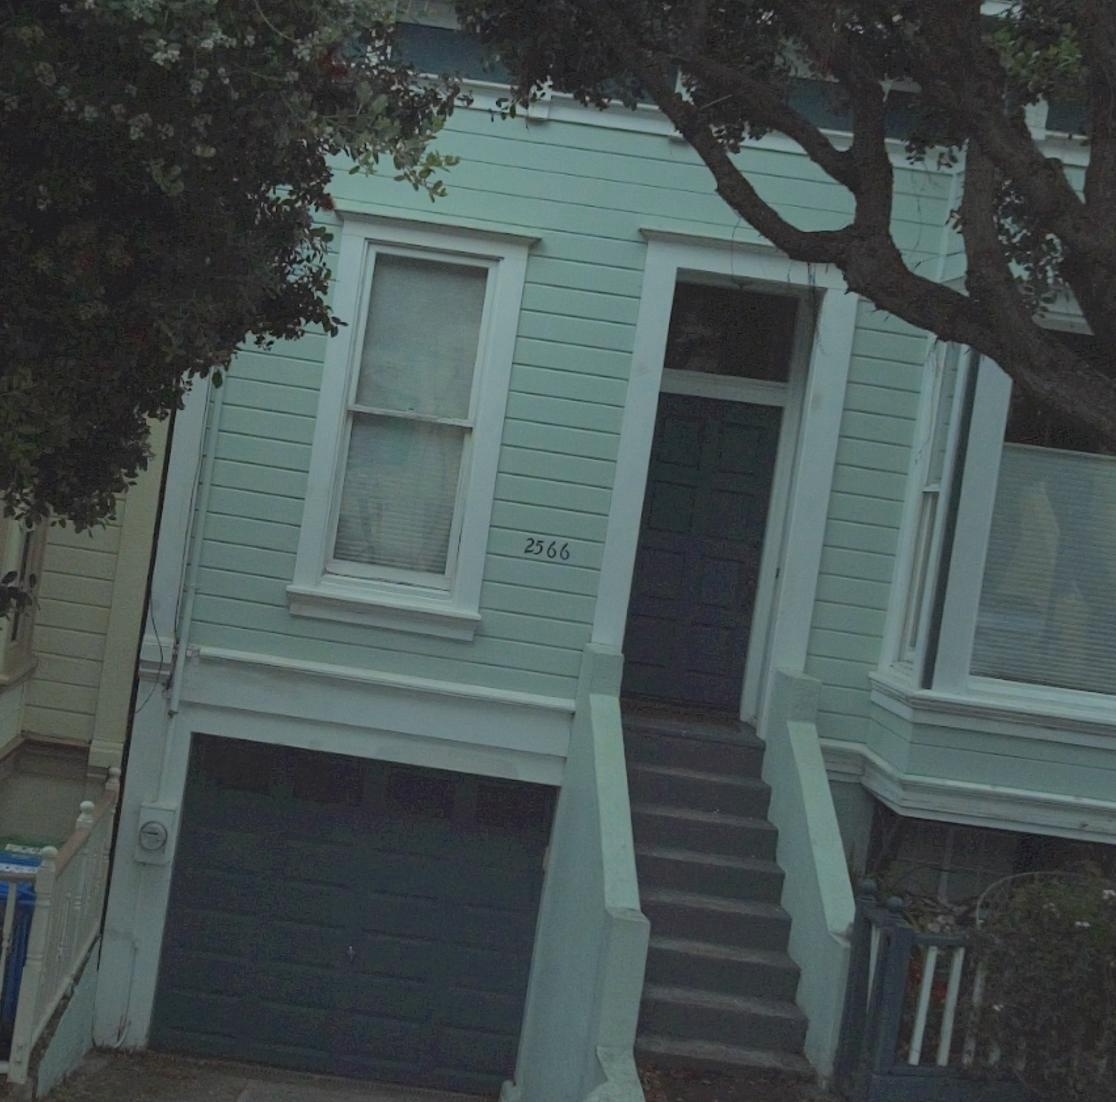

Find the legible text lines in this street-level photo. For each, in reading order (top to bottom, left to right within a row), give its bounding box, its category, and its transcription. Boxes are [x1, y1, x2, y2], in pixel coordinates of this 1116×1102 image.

[521, 534, 573, 563] StreetNumber: 2566